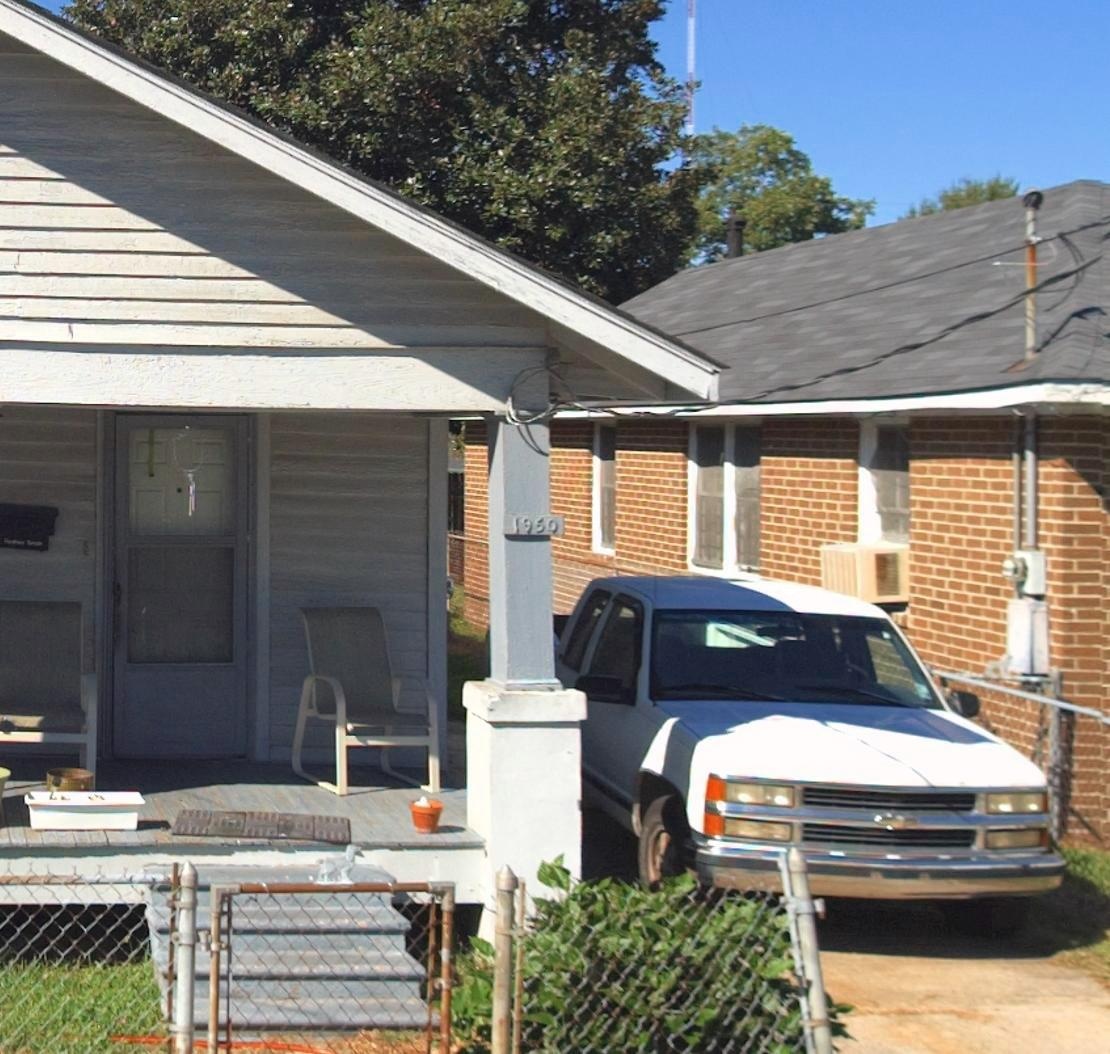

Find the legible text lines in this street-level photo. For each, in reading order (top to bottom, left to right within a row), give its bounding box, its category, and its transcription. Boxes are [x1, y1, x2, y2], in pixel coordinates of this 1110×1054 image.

[511, 515, 560, 536] StreetNumber: 1950